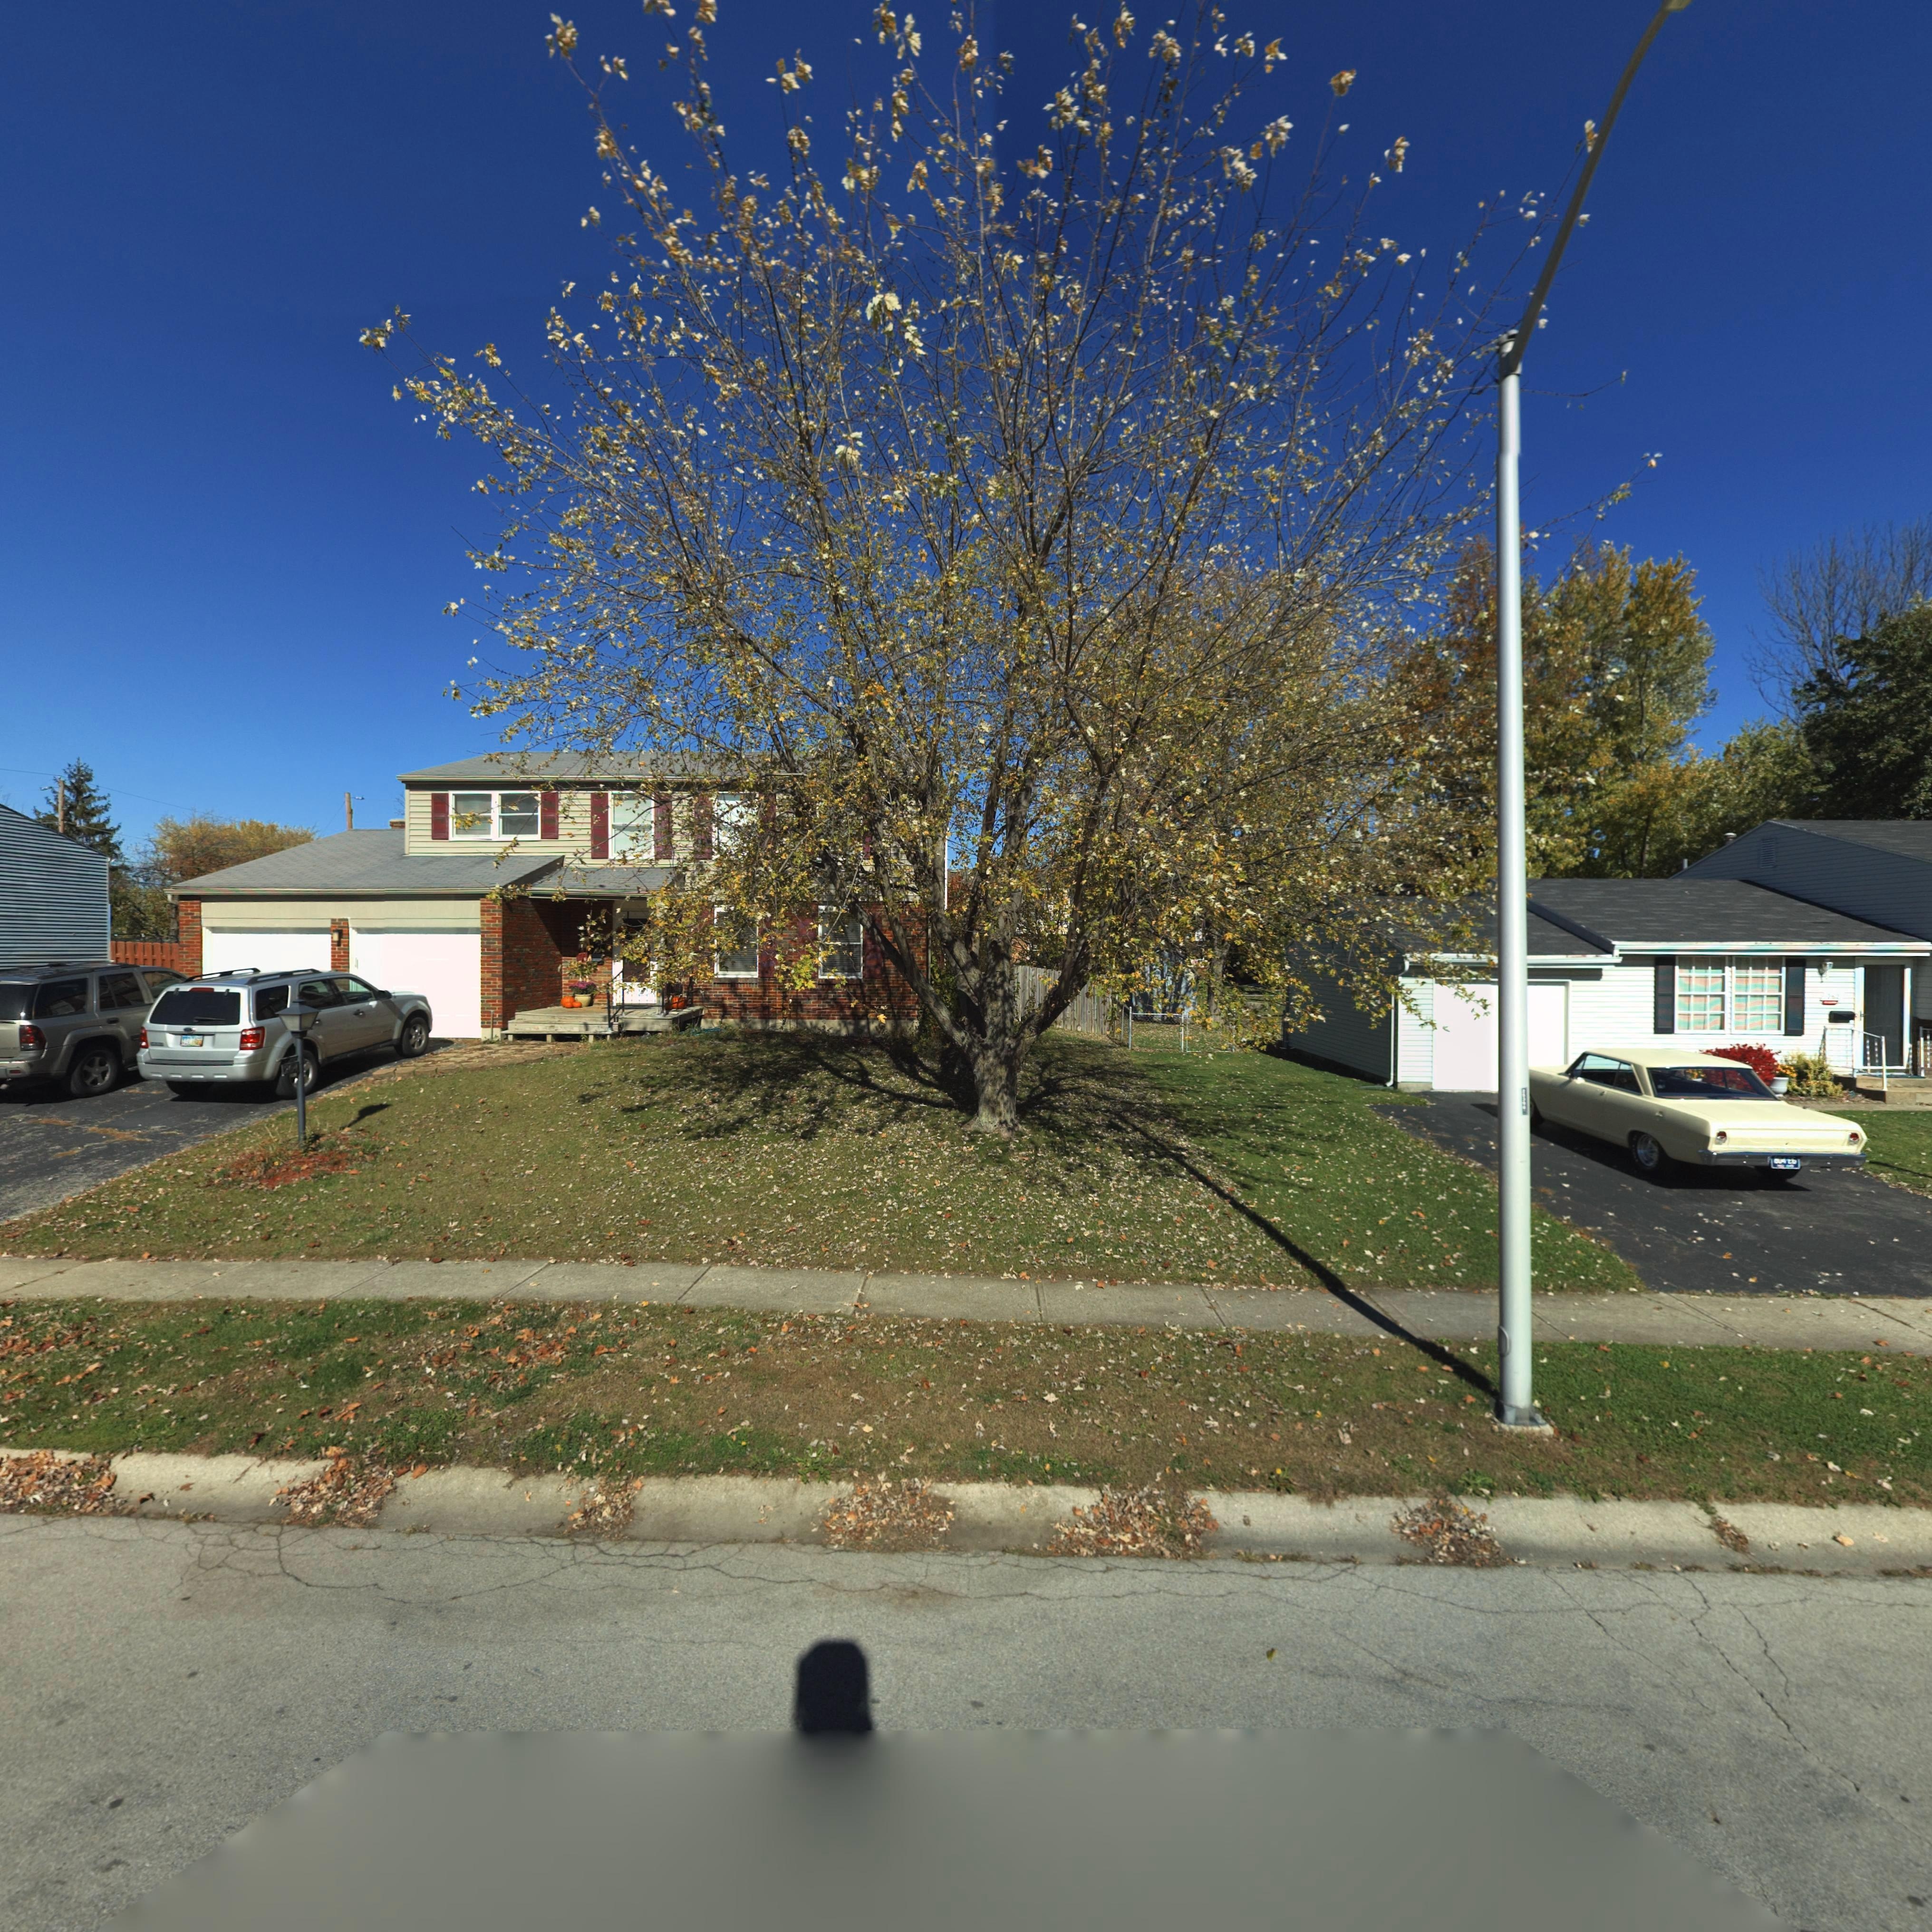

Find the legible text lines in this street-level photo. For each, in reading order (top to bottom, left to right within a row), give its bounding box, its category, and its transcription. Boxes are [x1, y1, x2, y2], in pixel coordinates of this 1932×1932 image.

[1826, 993, 1840, 999] StreetNumber: *6*
[283, 1062, 299, 1075] StreetNumber: 264